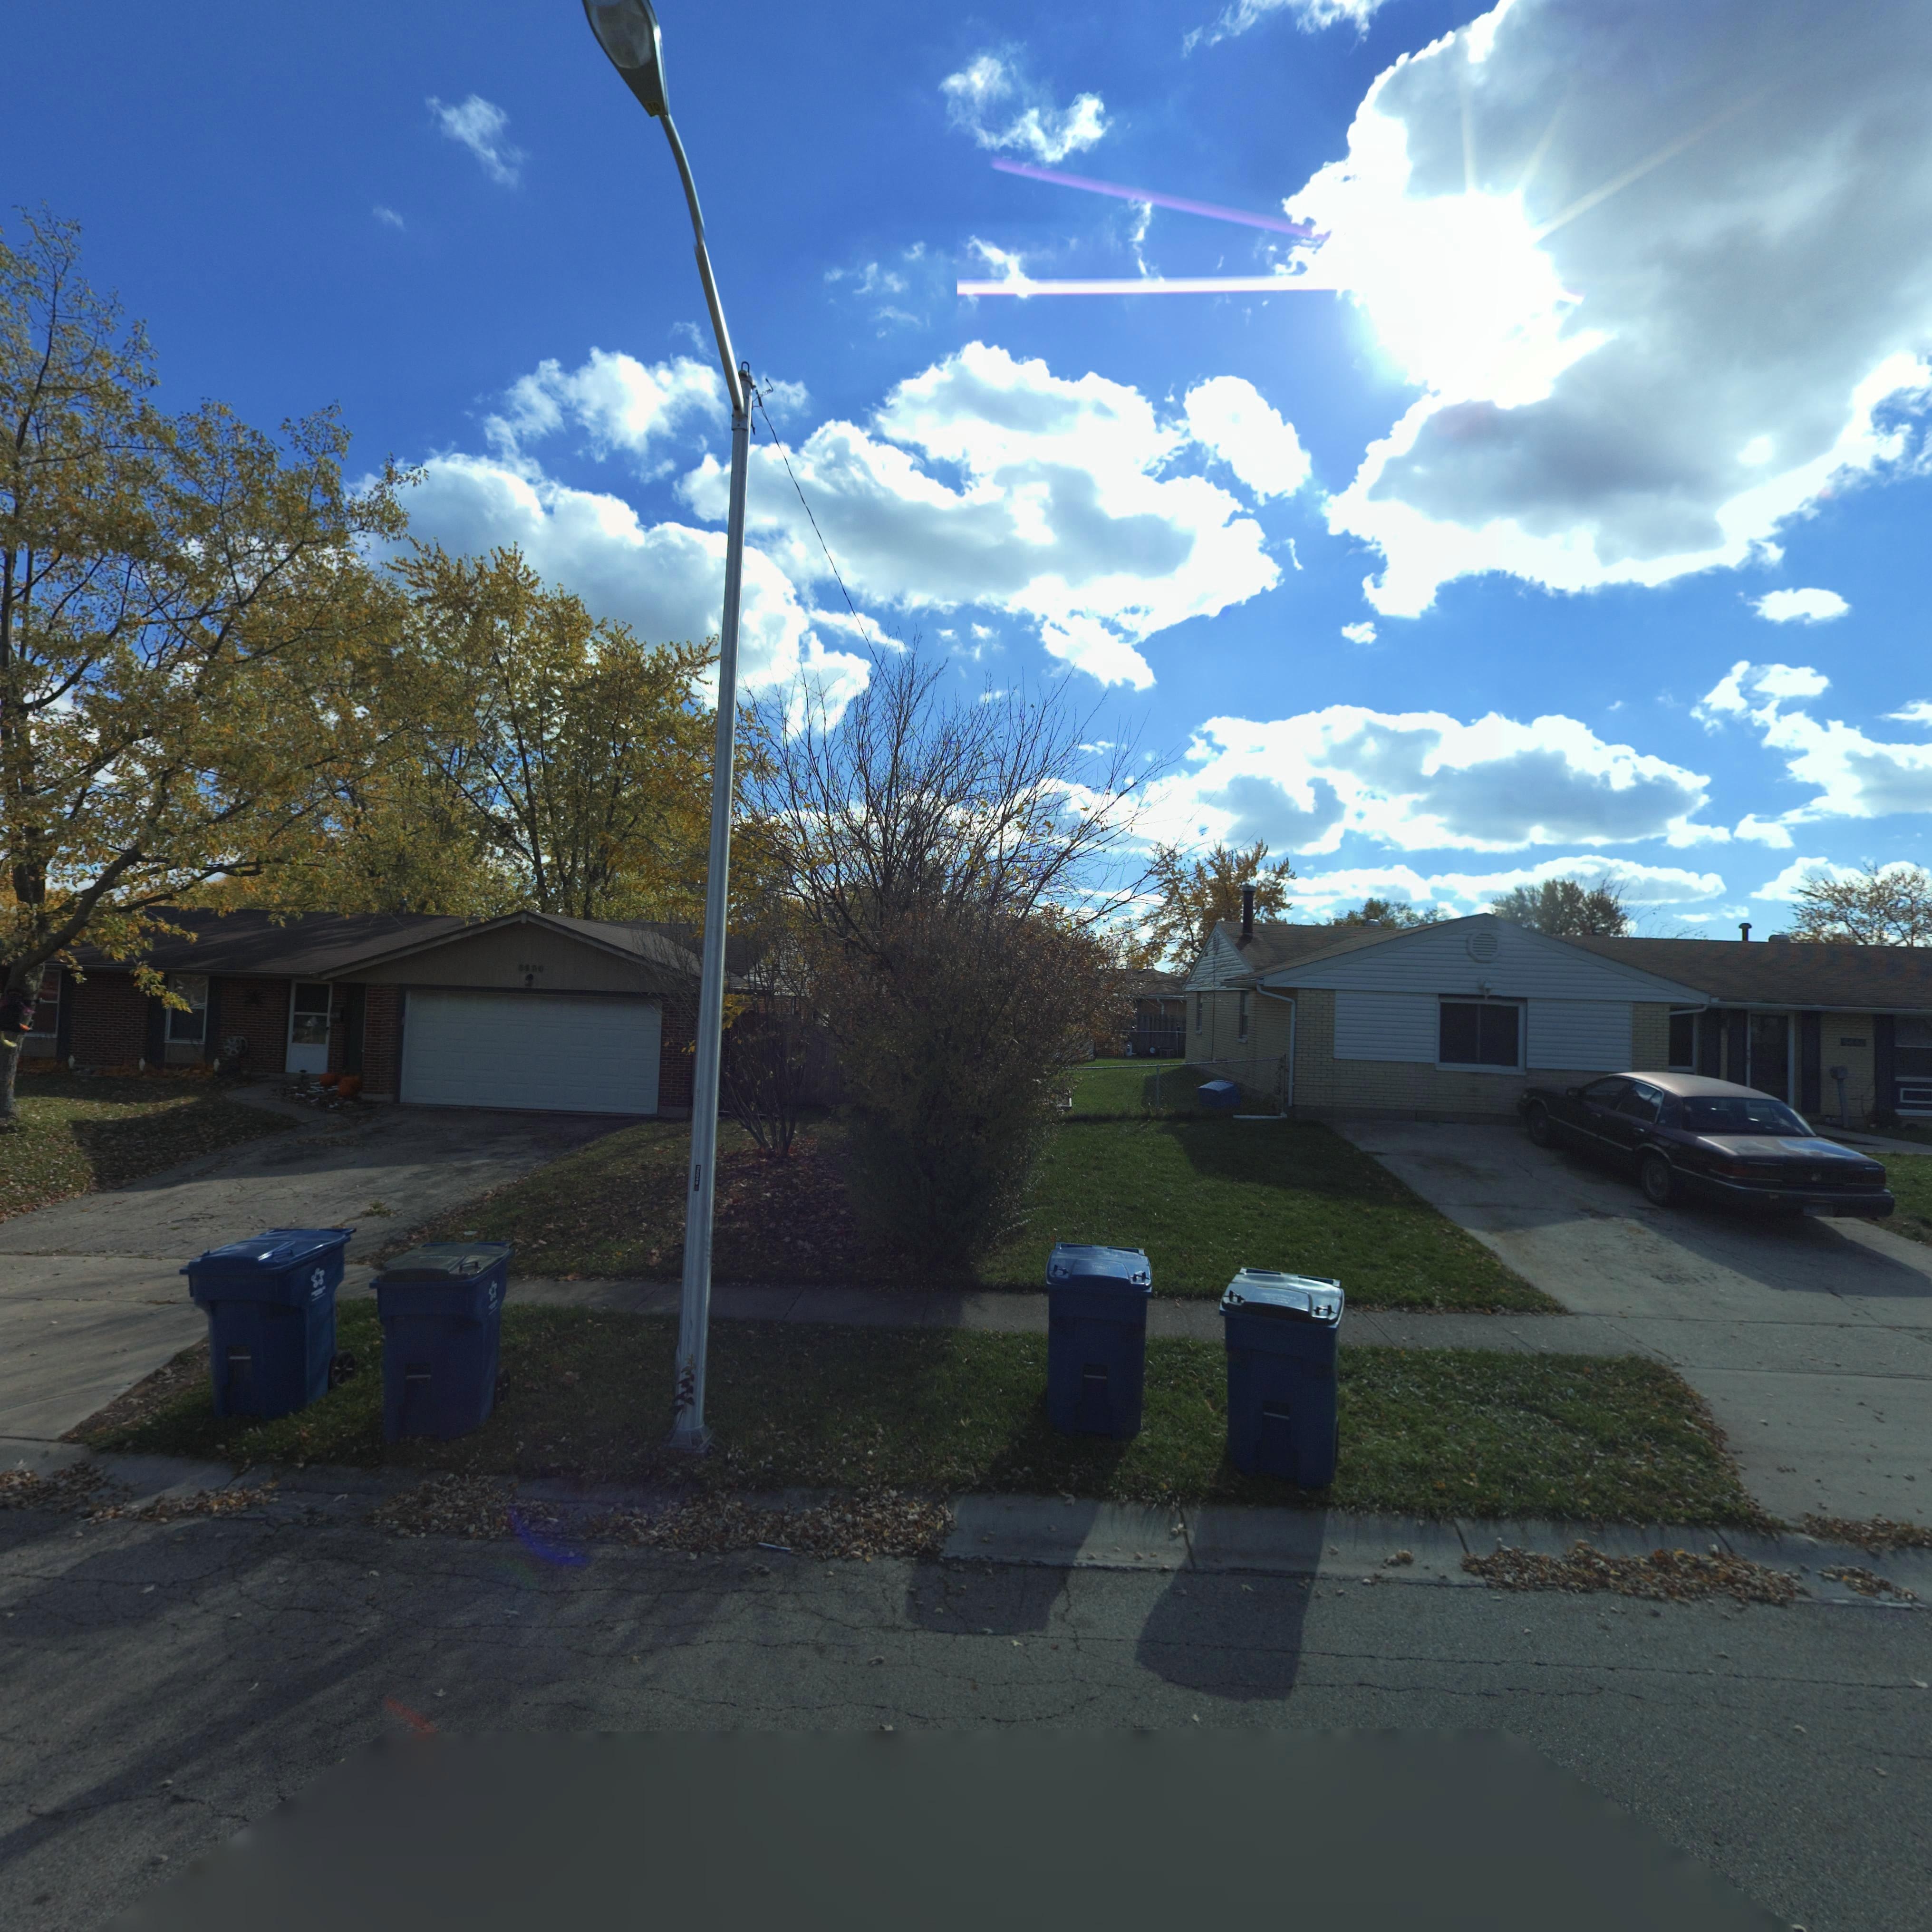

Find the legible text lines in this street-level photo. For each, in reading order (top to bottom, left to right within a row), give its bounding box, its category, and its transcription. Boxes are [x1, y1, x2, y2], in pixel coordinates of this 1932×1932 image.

[518, 963, 544, 973] StreetNumber: 6650
[1842, 1038, 1867, 1047] StreetNumber: 6**0